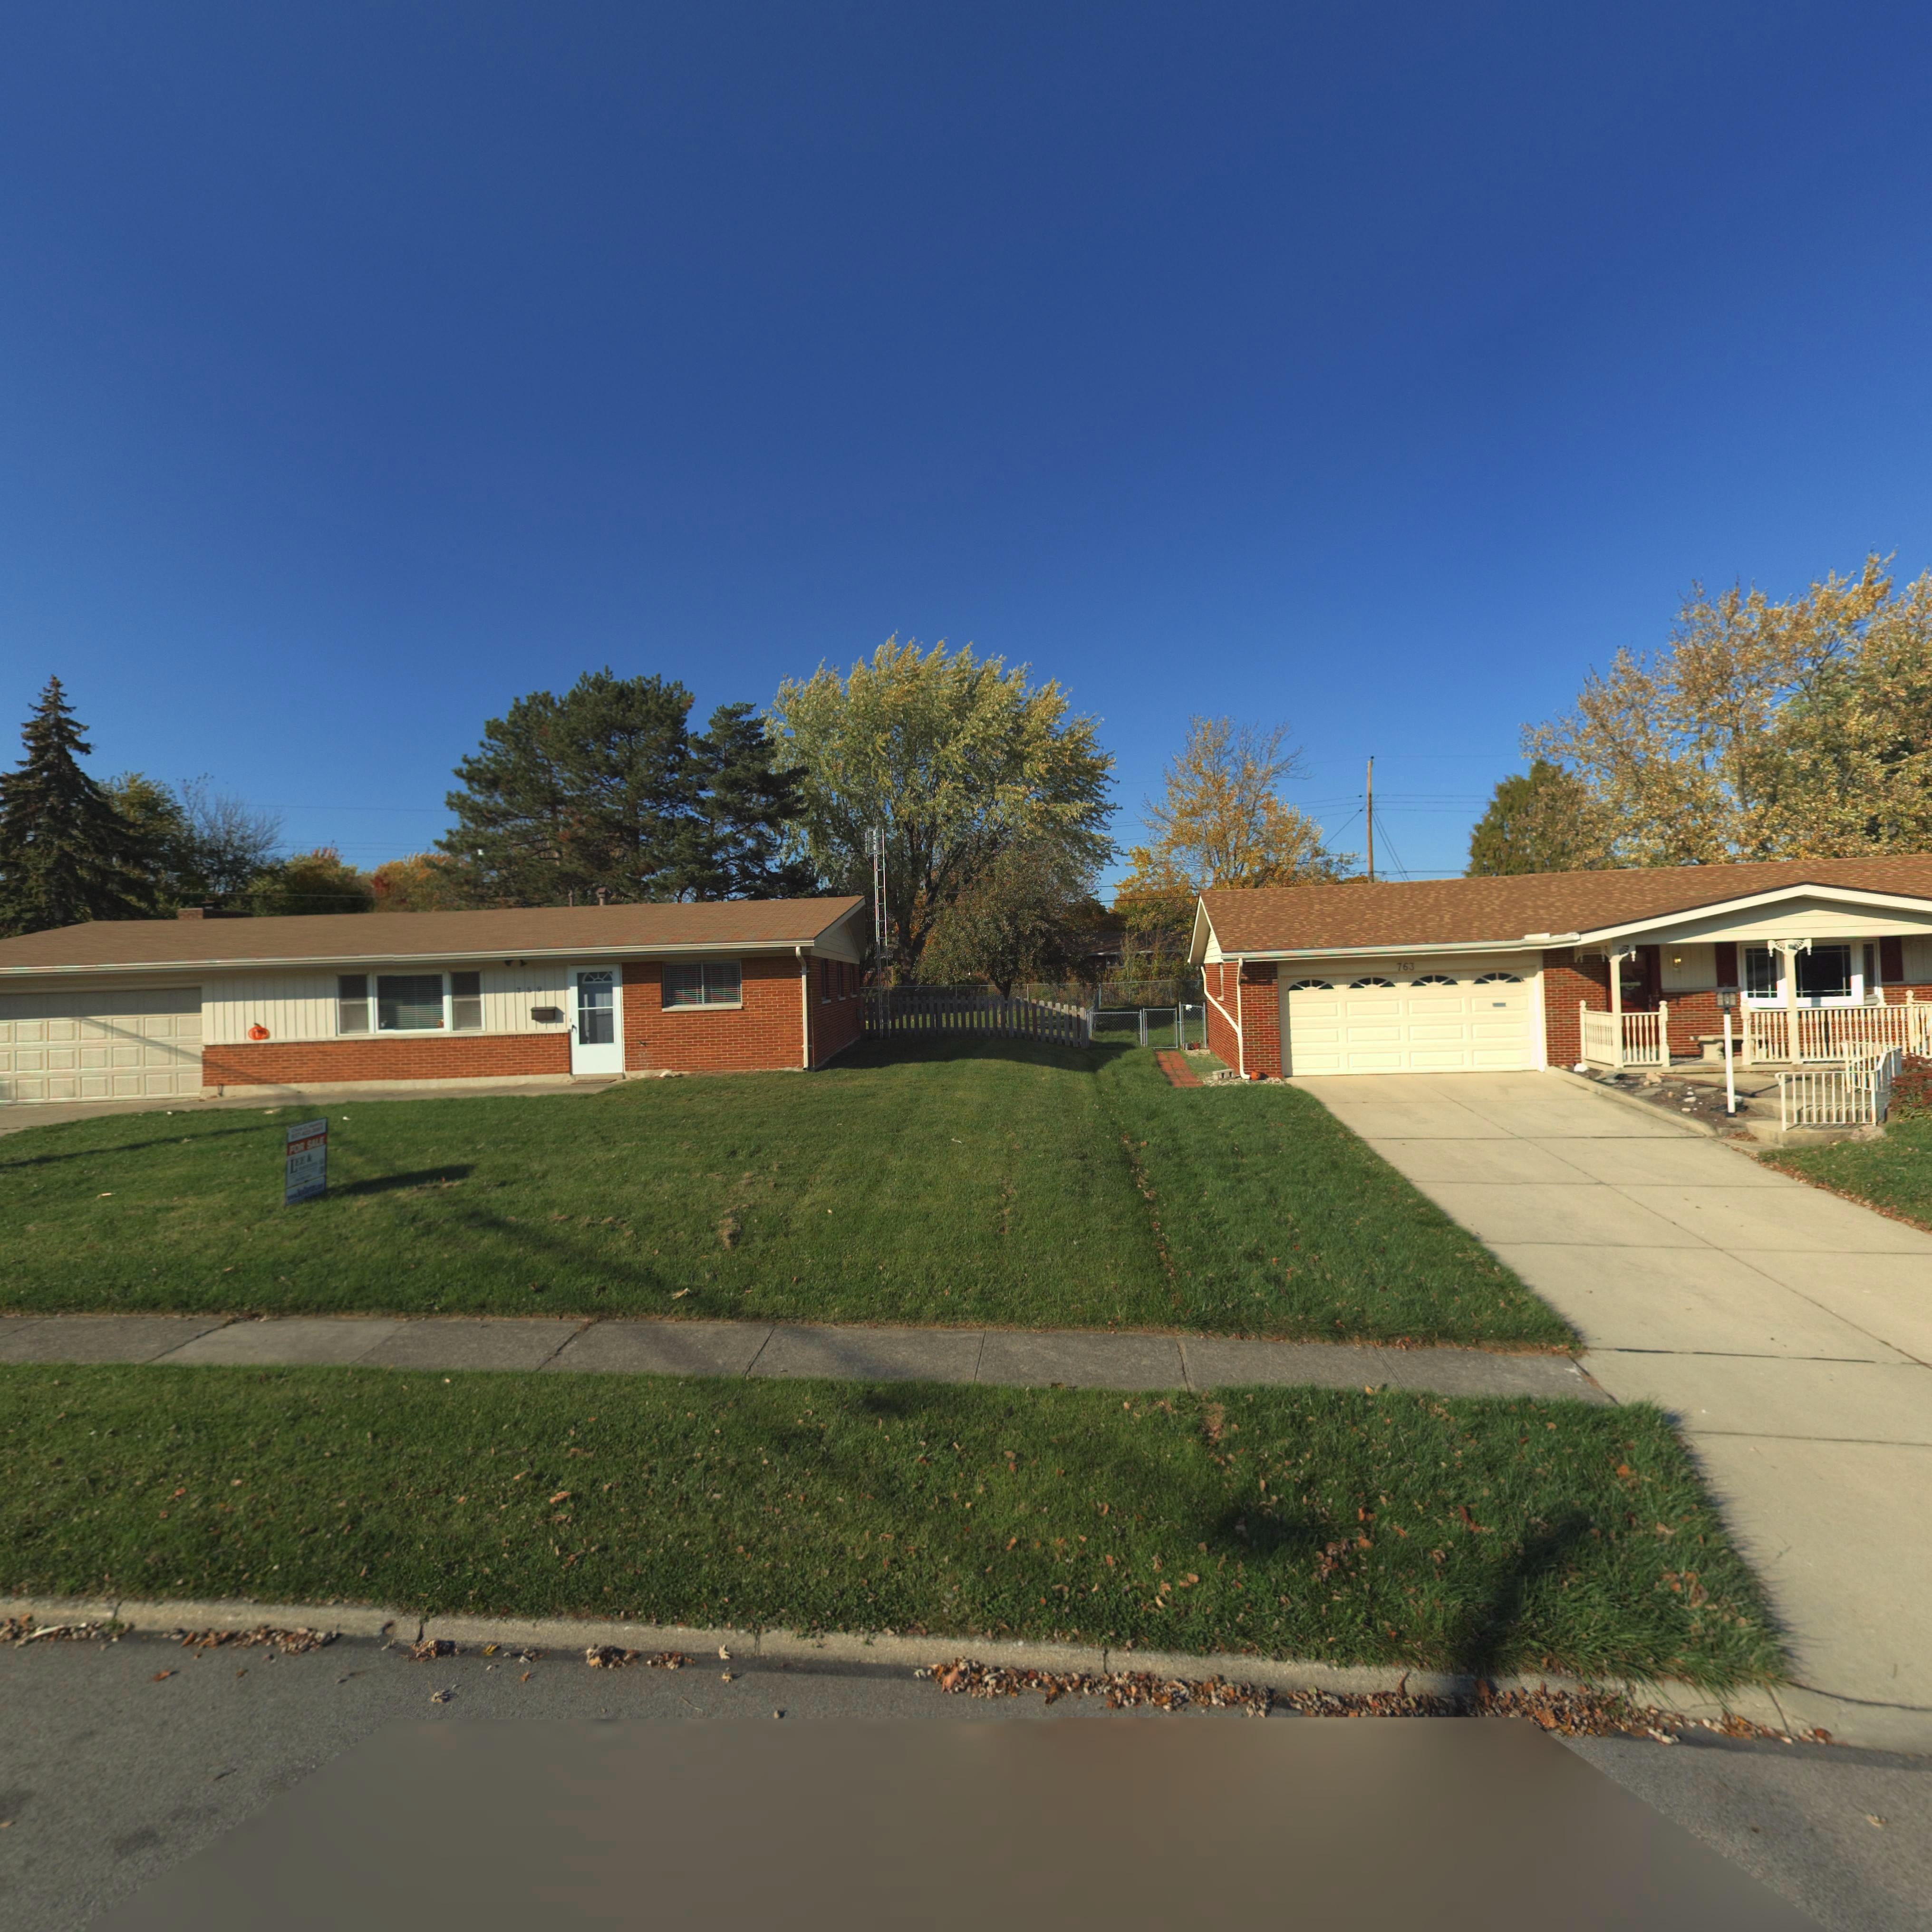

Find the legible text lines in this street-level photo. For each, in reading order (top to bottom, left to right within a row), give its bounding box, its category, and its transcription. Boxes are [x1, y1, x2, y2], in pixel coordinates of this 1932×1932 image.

[1396, 961, 1415, 971] StreetNumber: 763
[515, 986, 541, 995] StreetNumber: 759